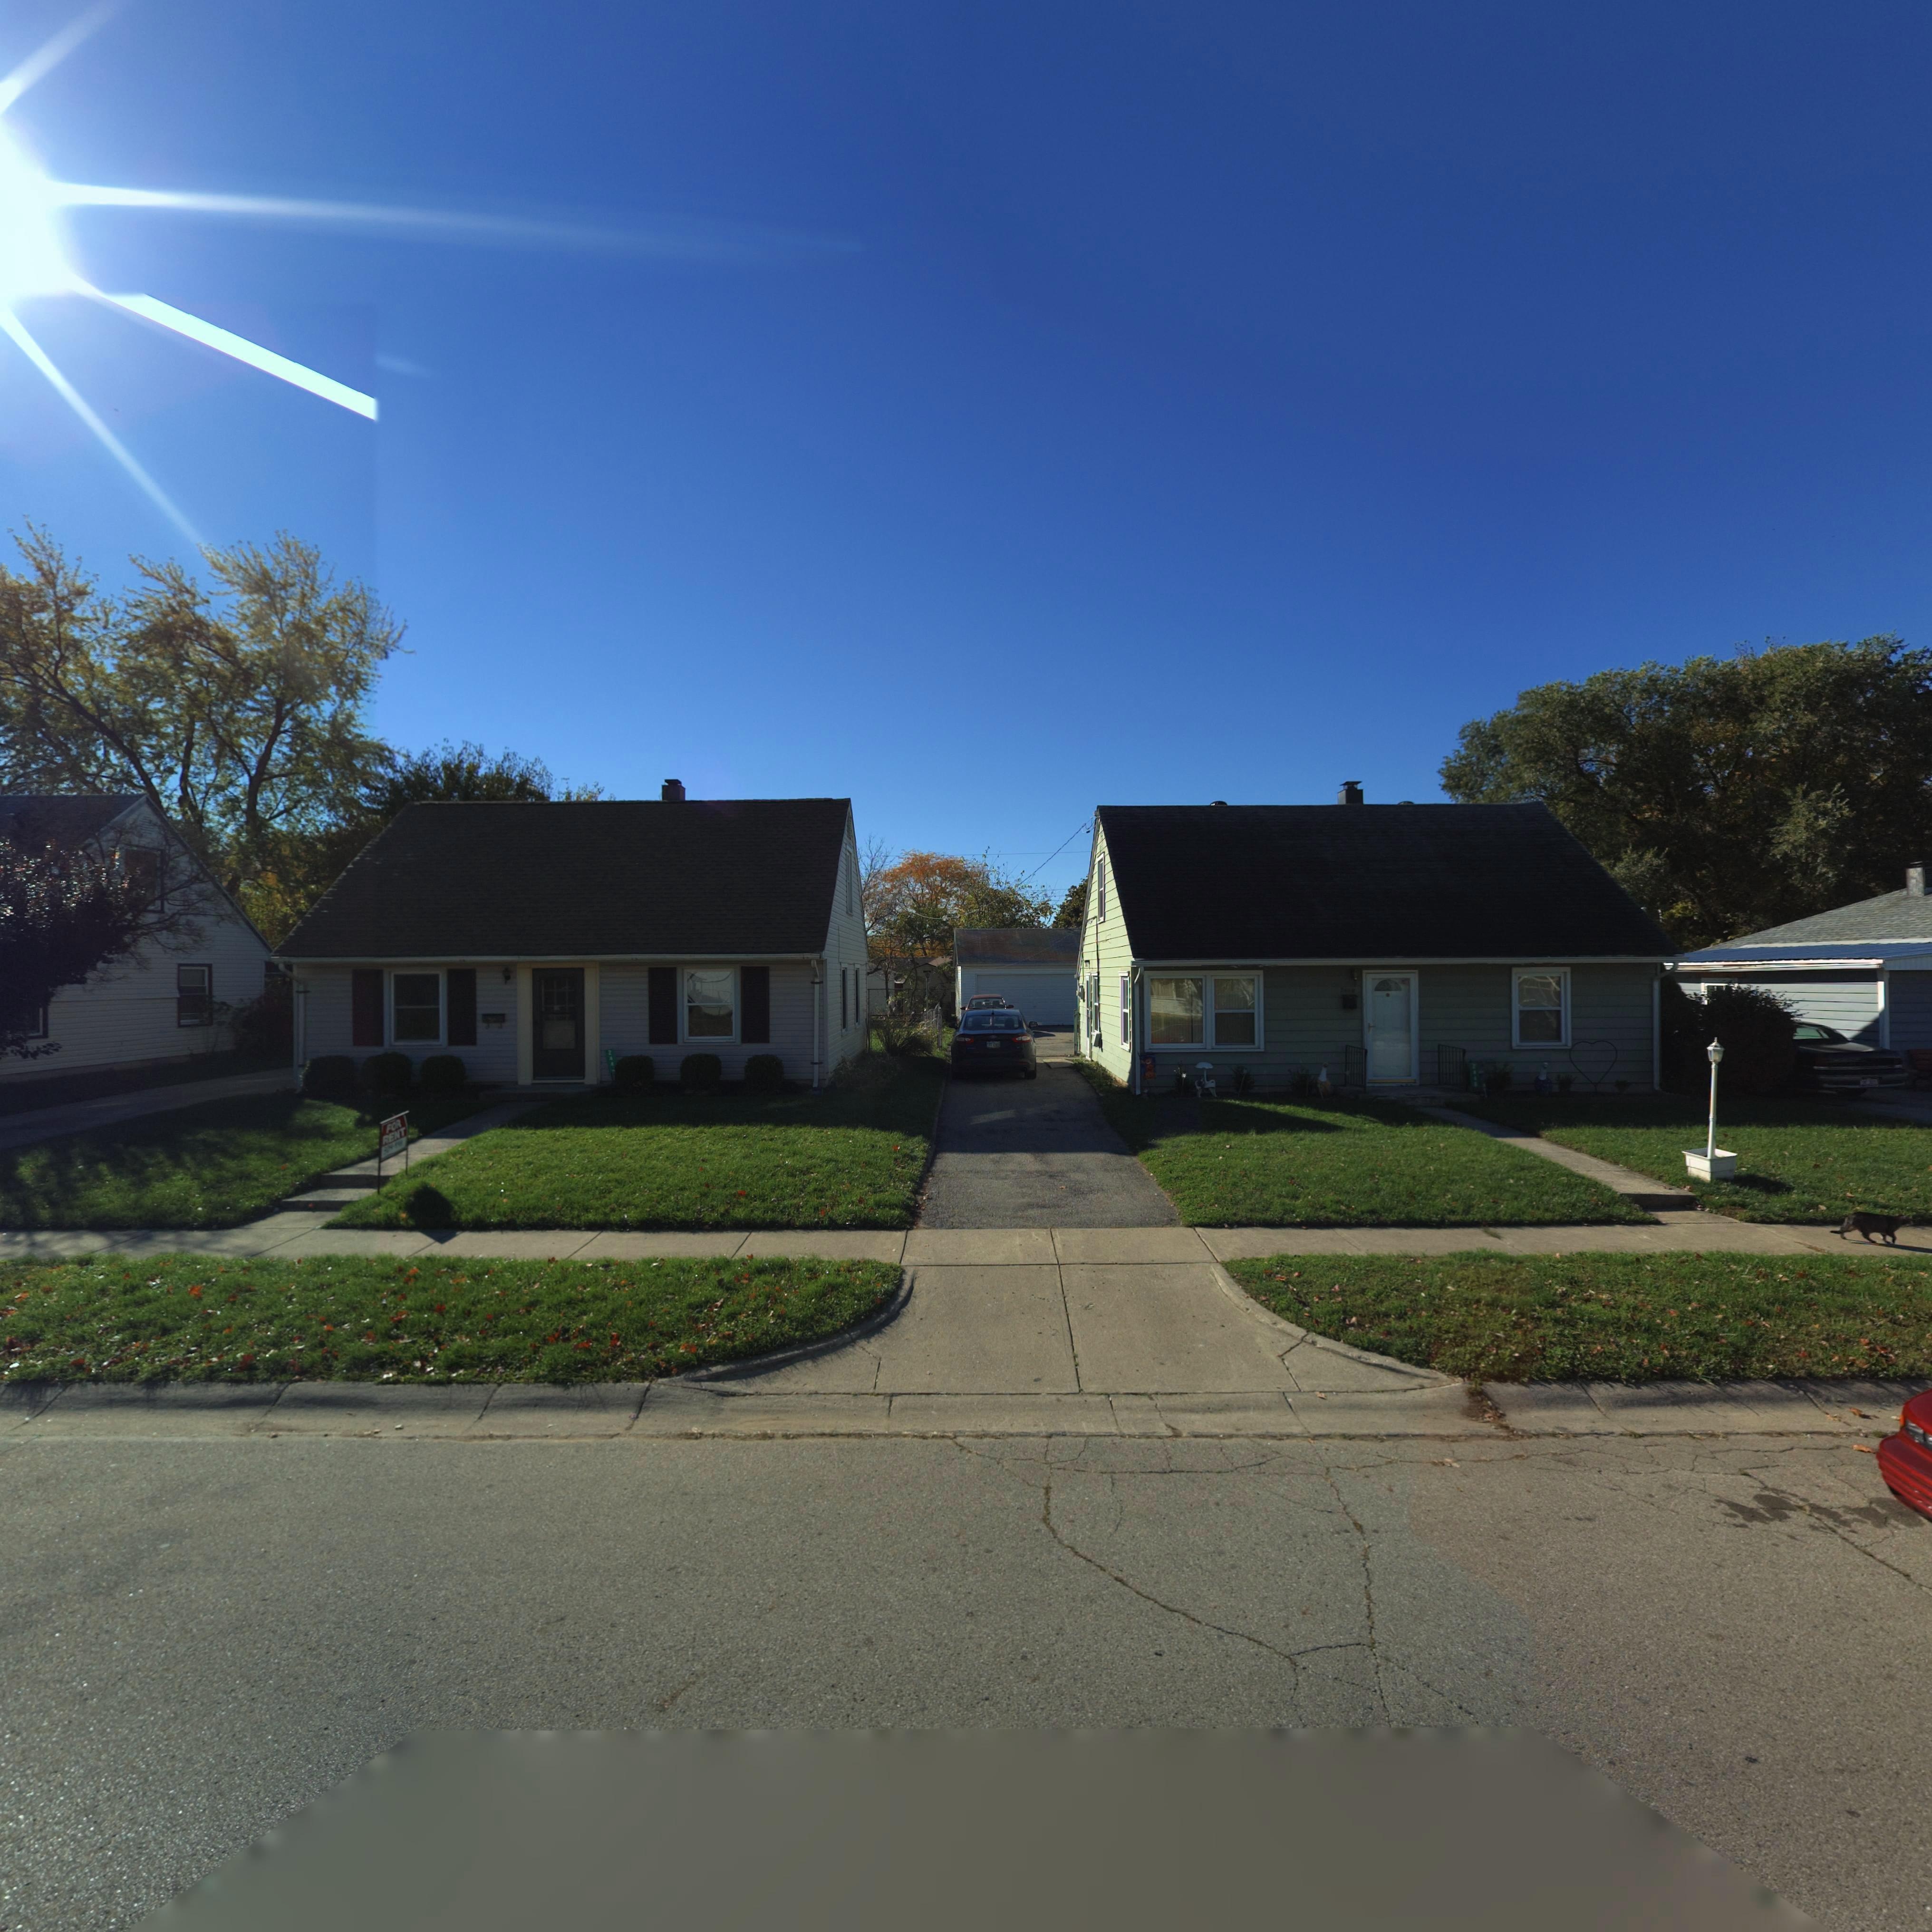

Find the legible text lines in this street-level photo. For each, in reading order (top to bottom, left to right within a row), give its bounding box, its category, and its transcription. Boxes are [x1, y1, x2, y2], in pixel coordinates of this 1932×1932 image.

[1338, 987, 1356, 995] StreetNumber: 24**
[607, 1049, 615, 1068] StreetNumber: 244
[1471, 1063, 1478, 1088] StreetNumber: 244*